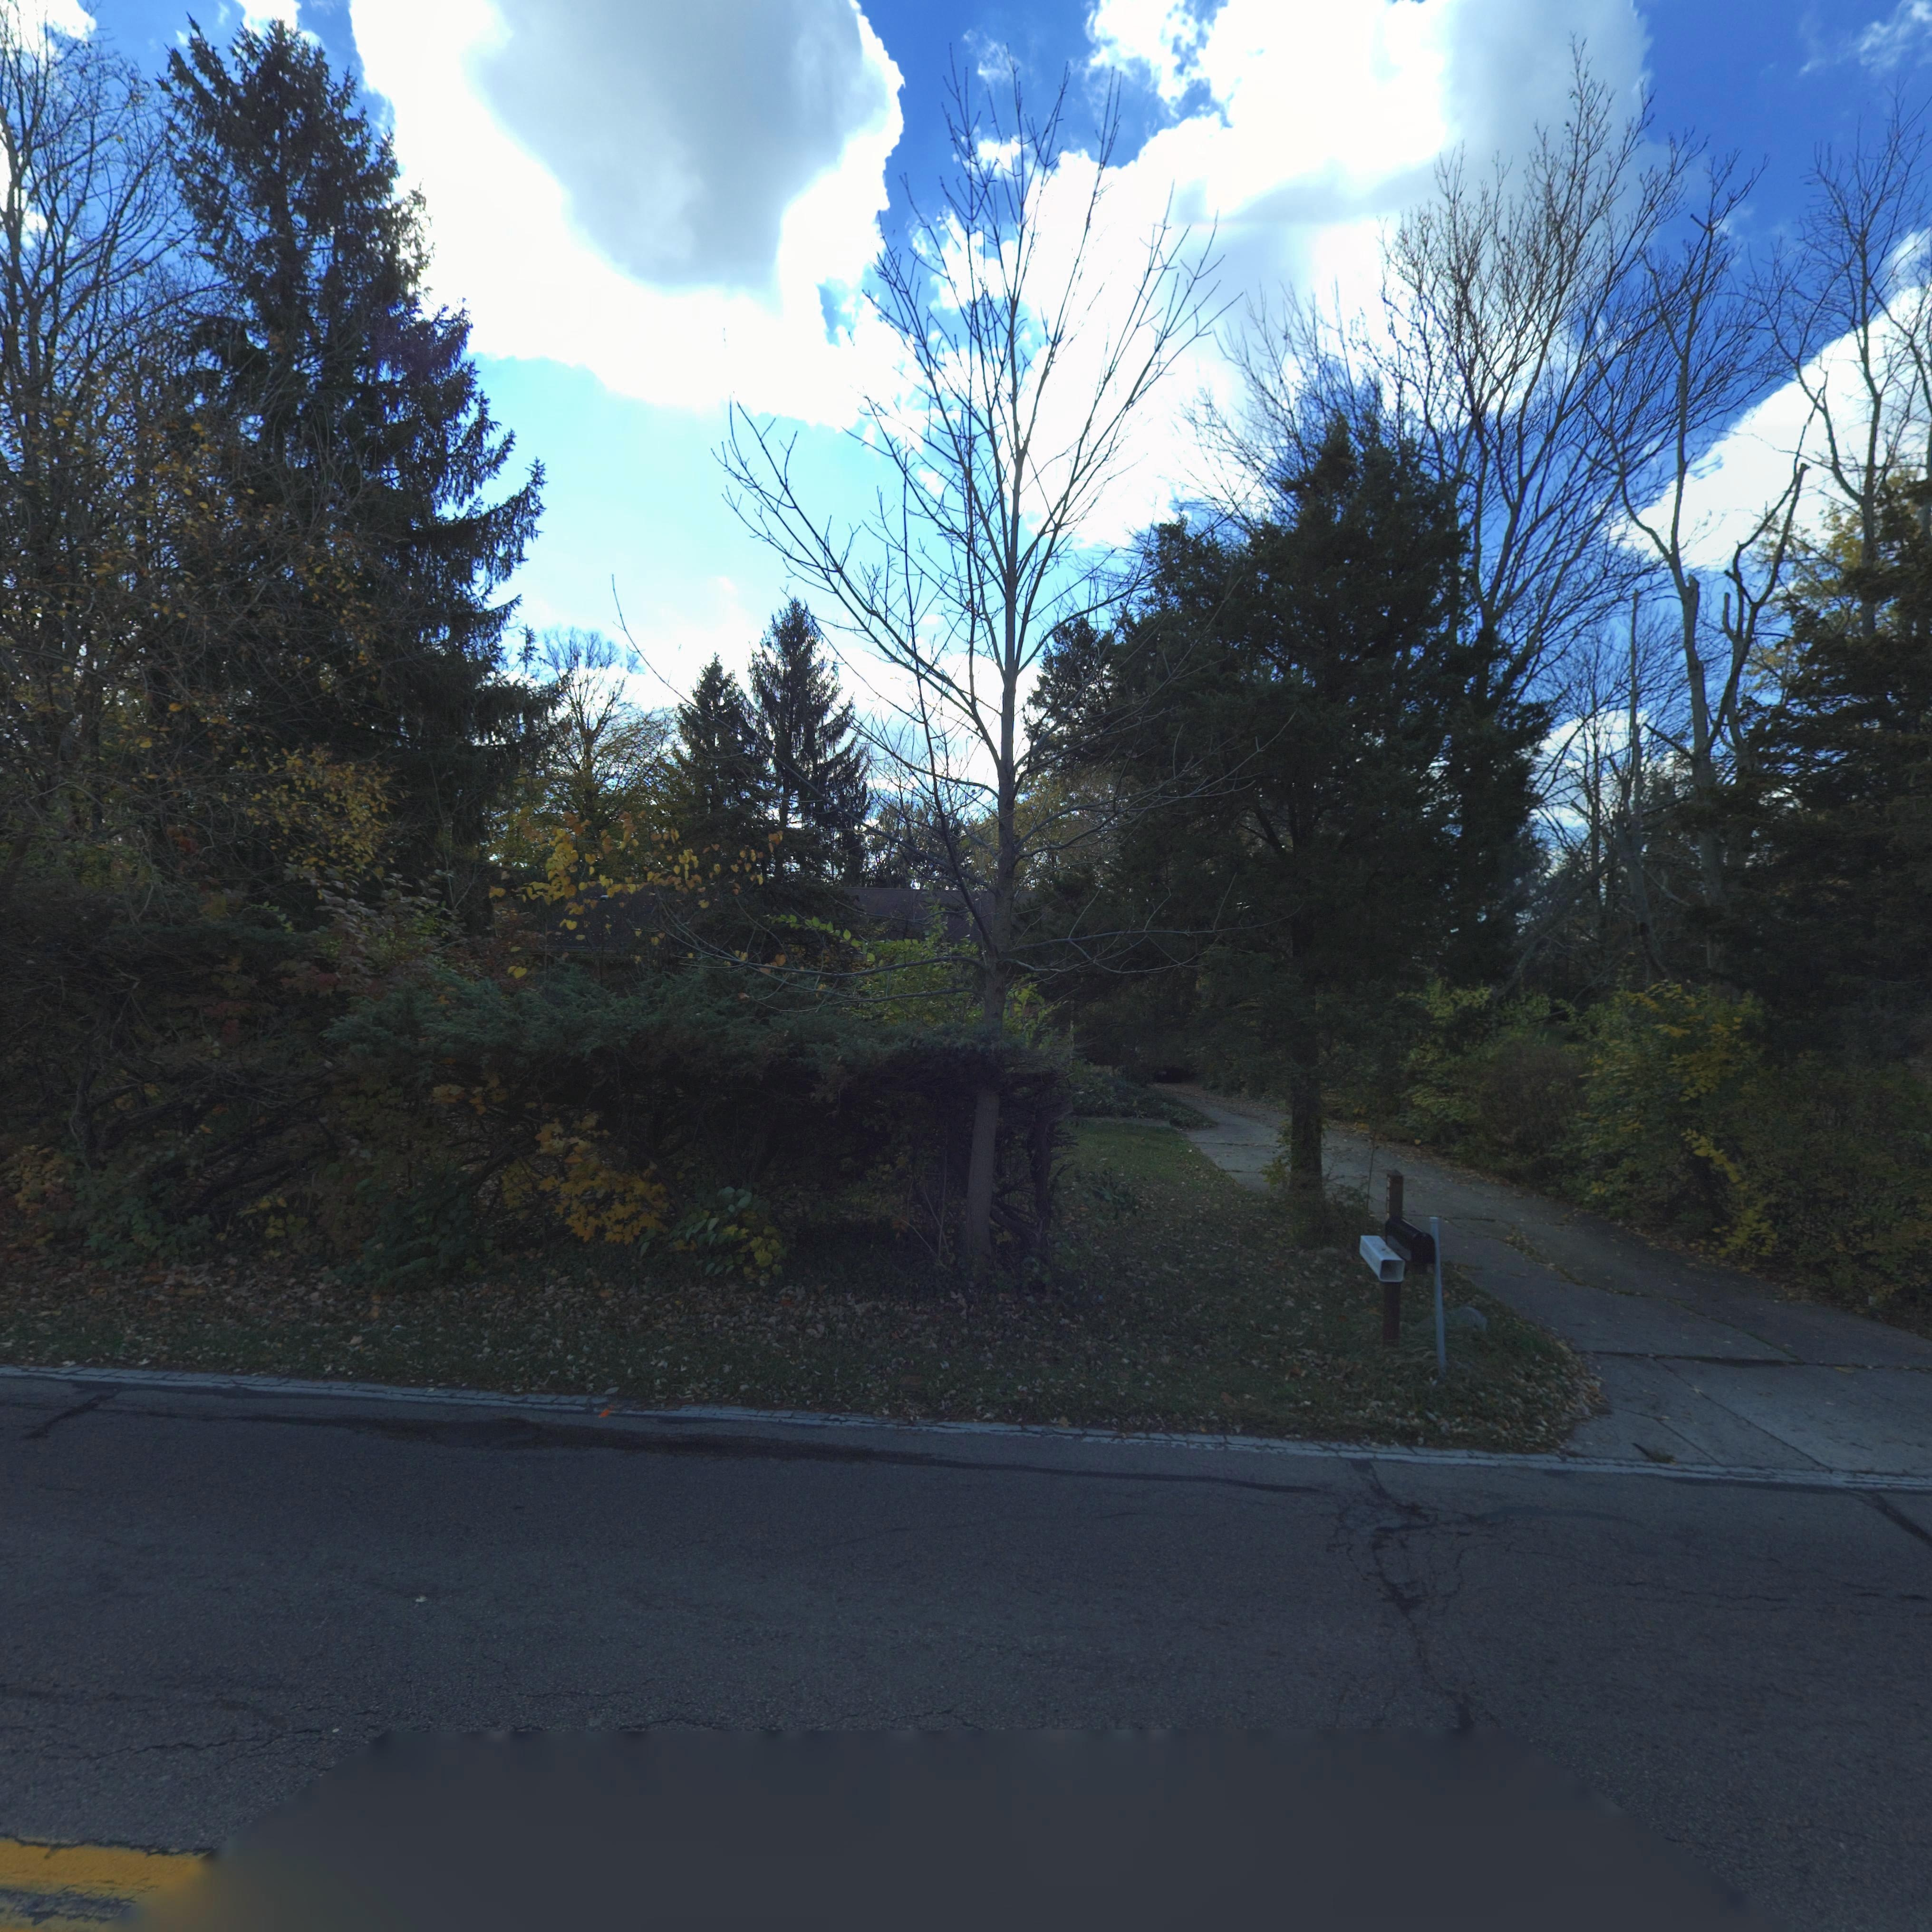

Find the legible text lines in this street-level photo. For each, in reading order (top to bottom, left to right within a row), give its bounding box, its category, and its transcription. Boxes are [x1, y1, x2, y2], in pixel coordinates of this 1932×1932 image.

[1386, 1176, 1391, 1213] StreetNumber: 641